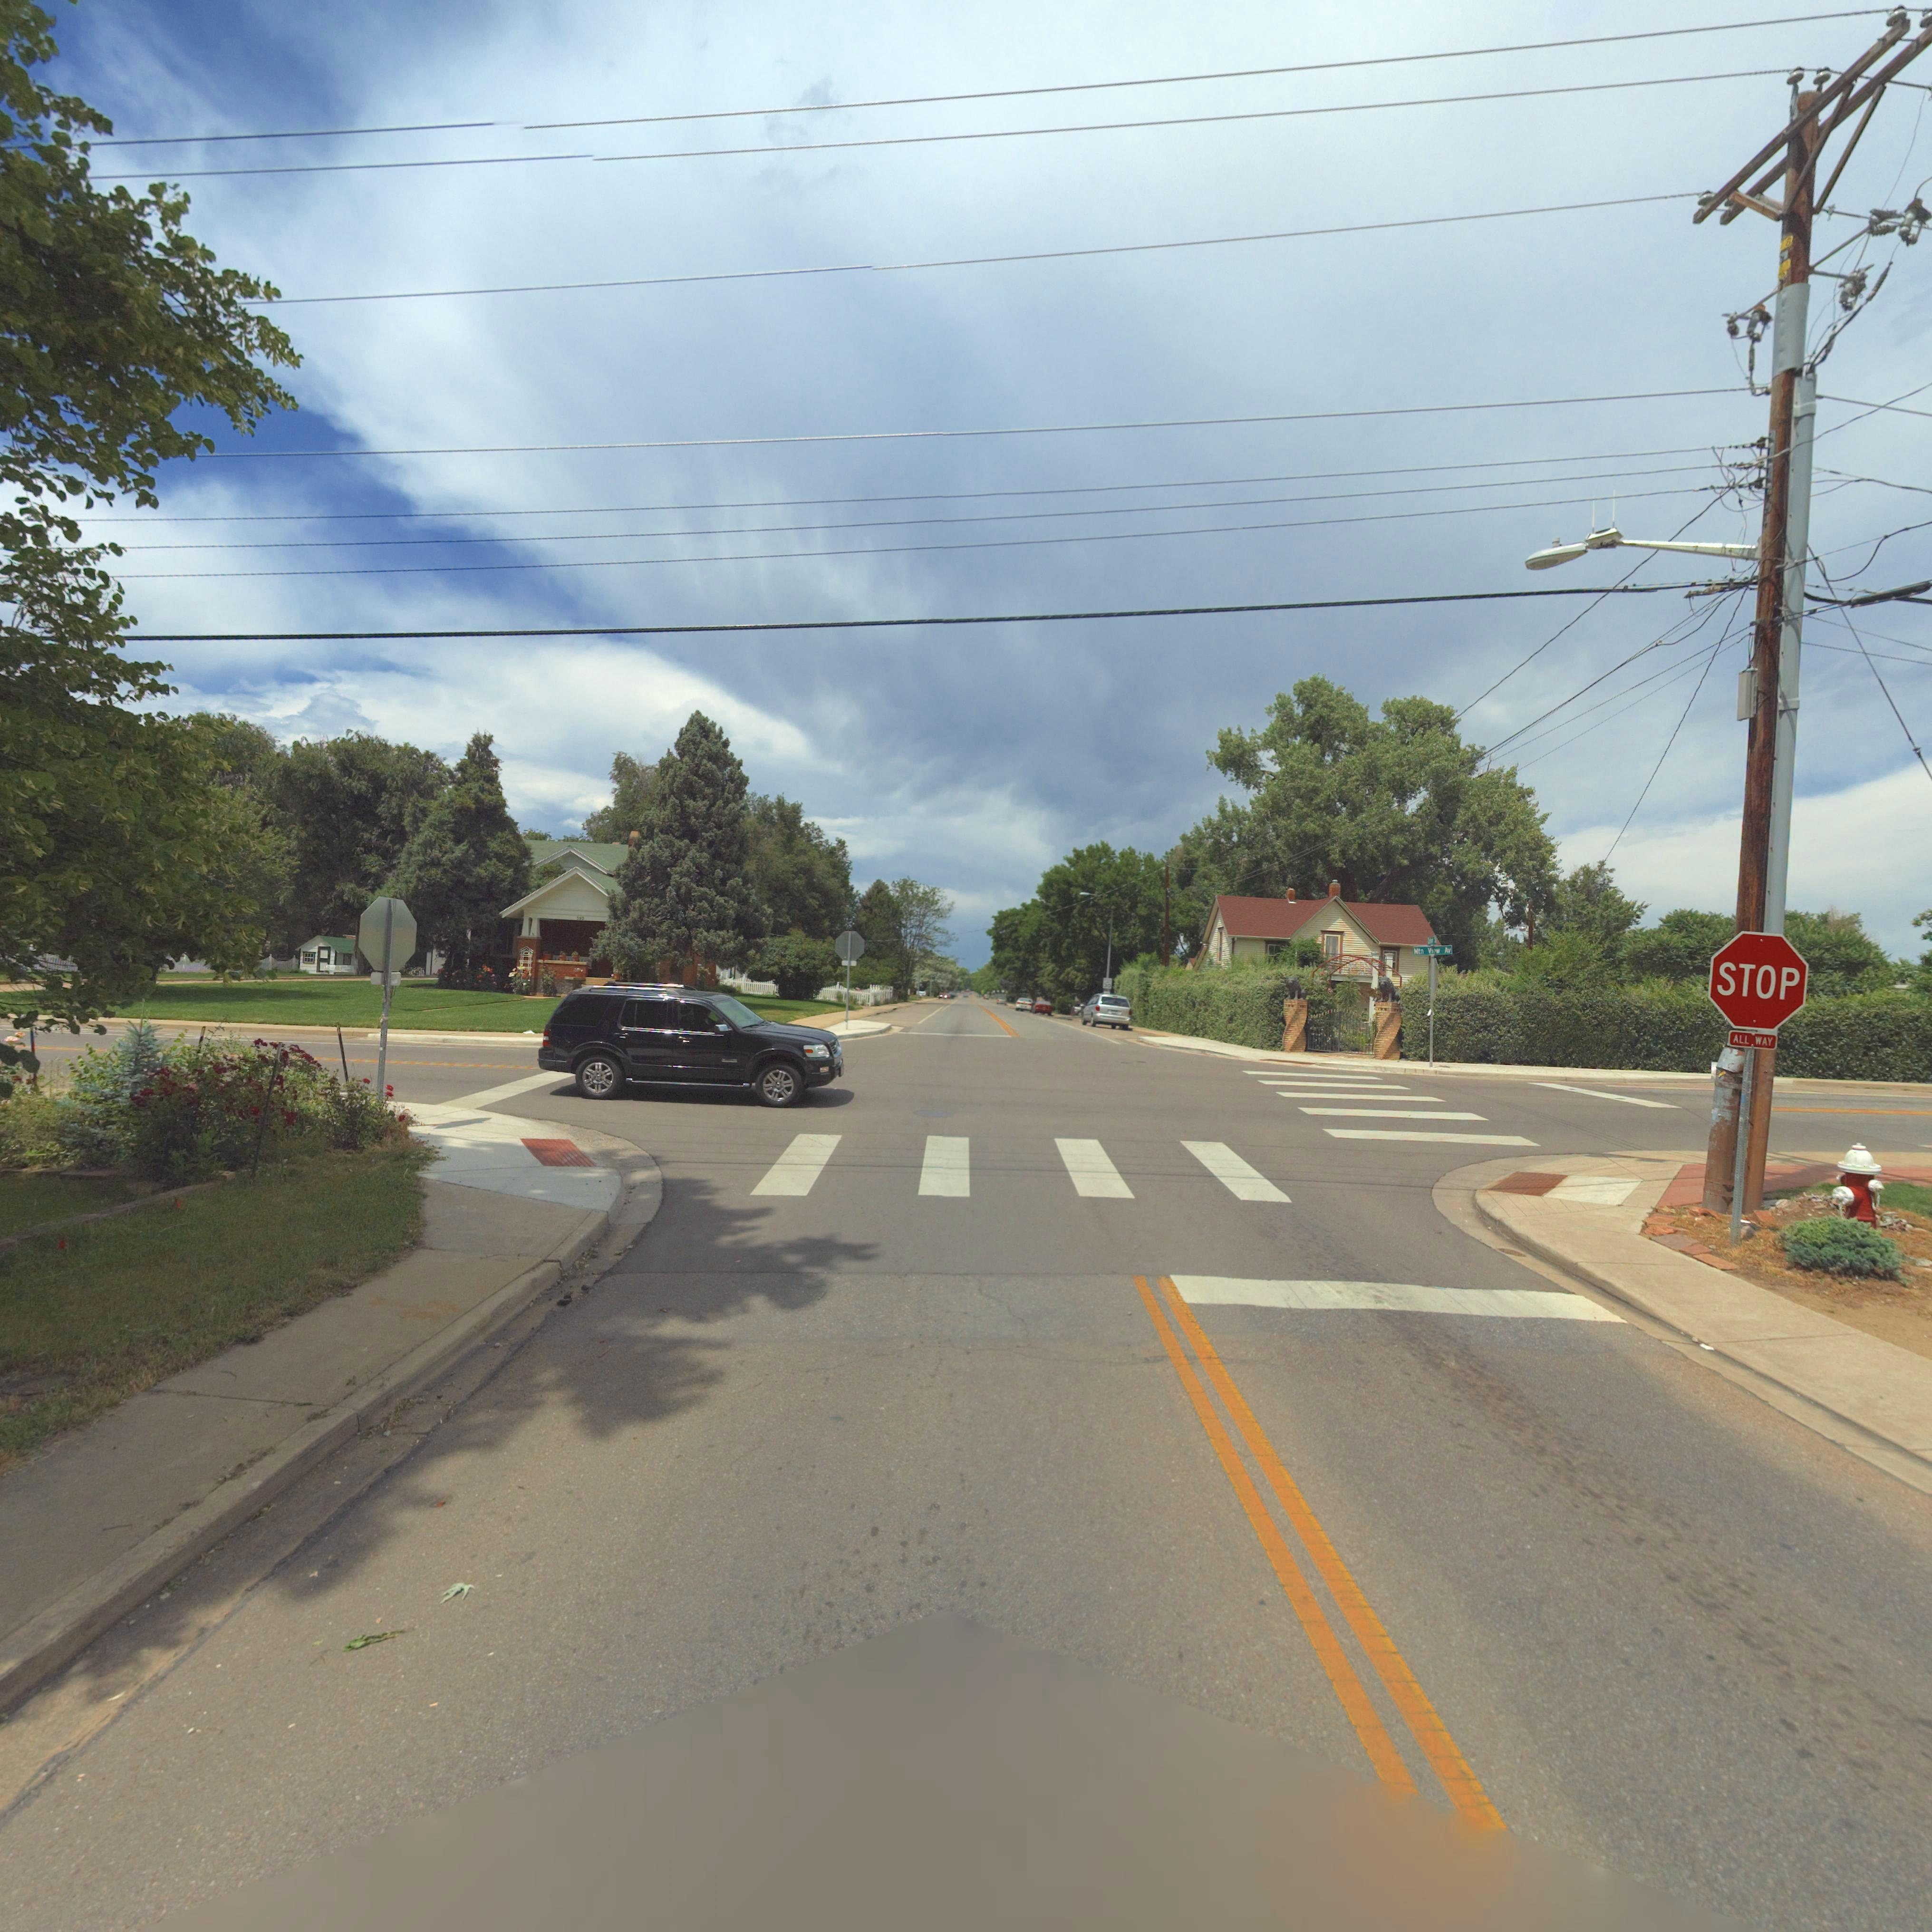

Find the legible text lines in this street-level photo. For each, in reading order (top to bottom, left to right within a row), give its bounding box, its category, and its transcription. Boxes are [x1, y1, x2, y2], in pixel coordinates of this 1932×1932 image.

[1413, 947, 1451, 955] StreetName: Mtn View Av
[1716, 961, 1800, 1000] None: STOP